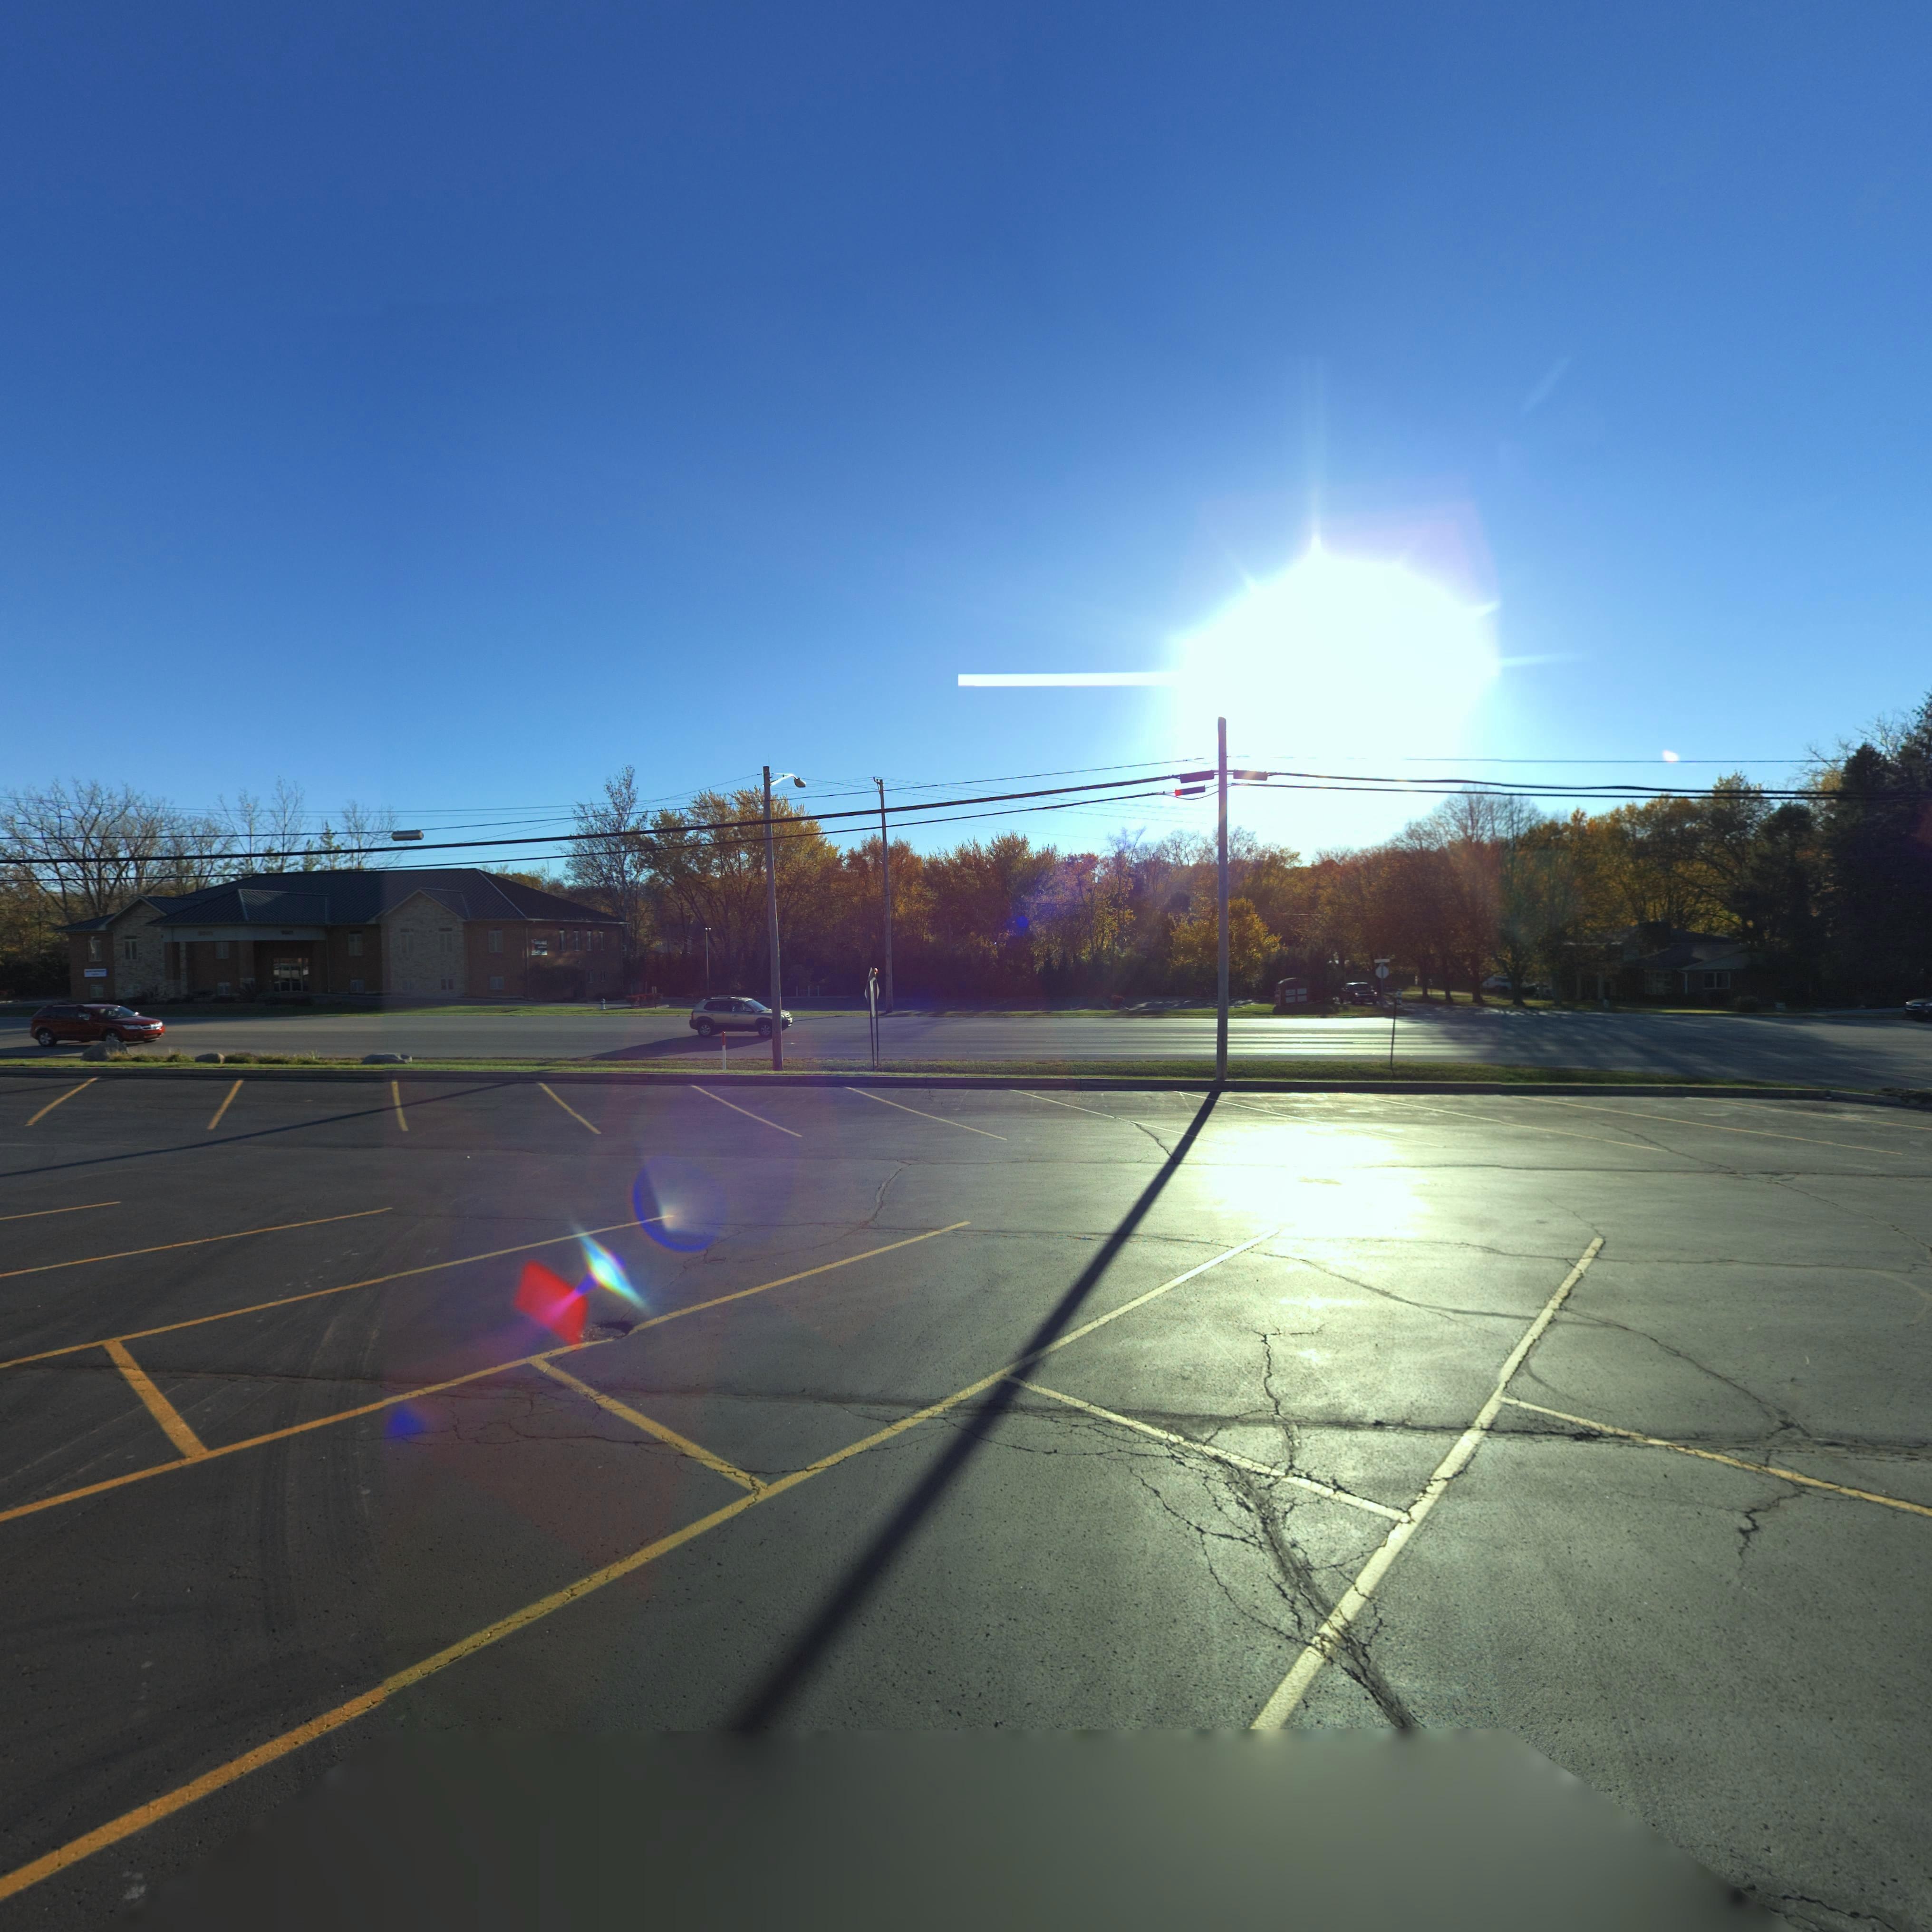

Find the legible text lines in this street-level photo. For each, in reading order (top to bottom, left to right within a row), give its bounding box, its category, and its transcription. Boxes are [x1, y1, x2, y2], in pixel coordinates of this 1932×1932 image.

[197, 930, 213, 937] StreetNumber: 9001
[280, 929, 294, 935] StreetNumber: 9001